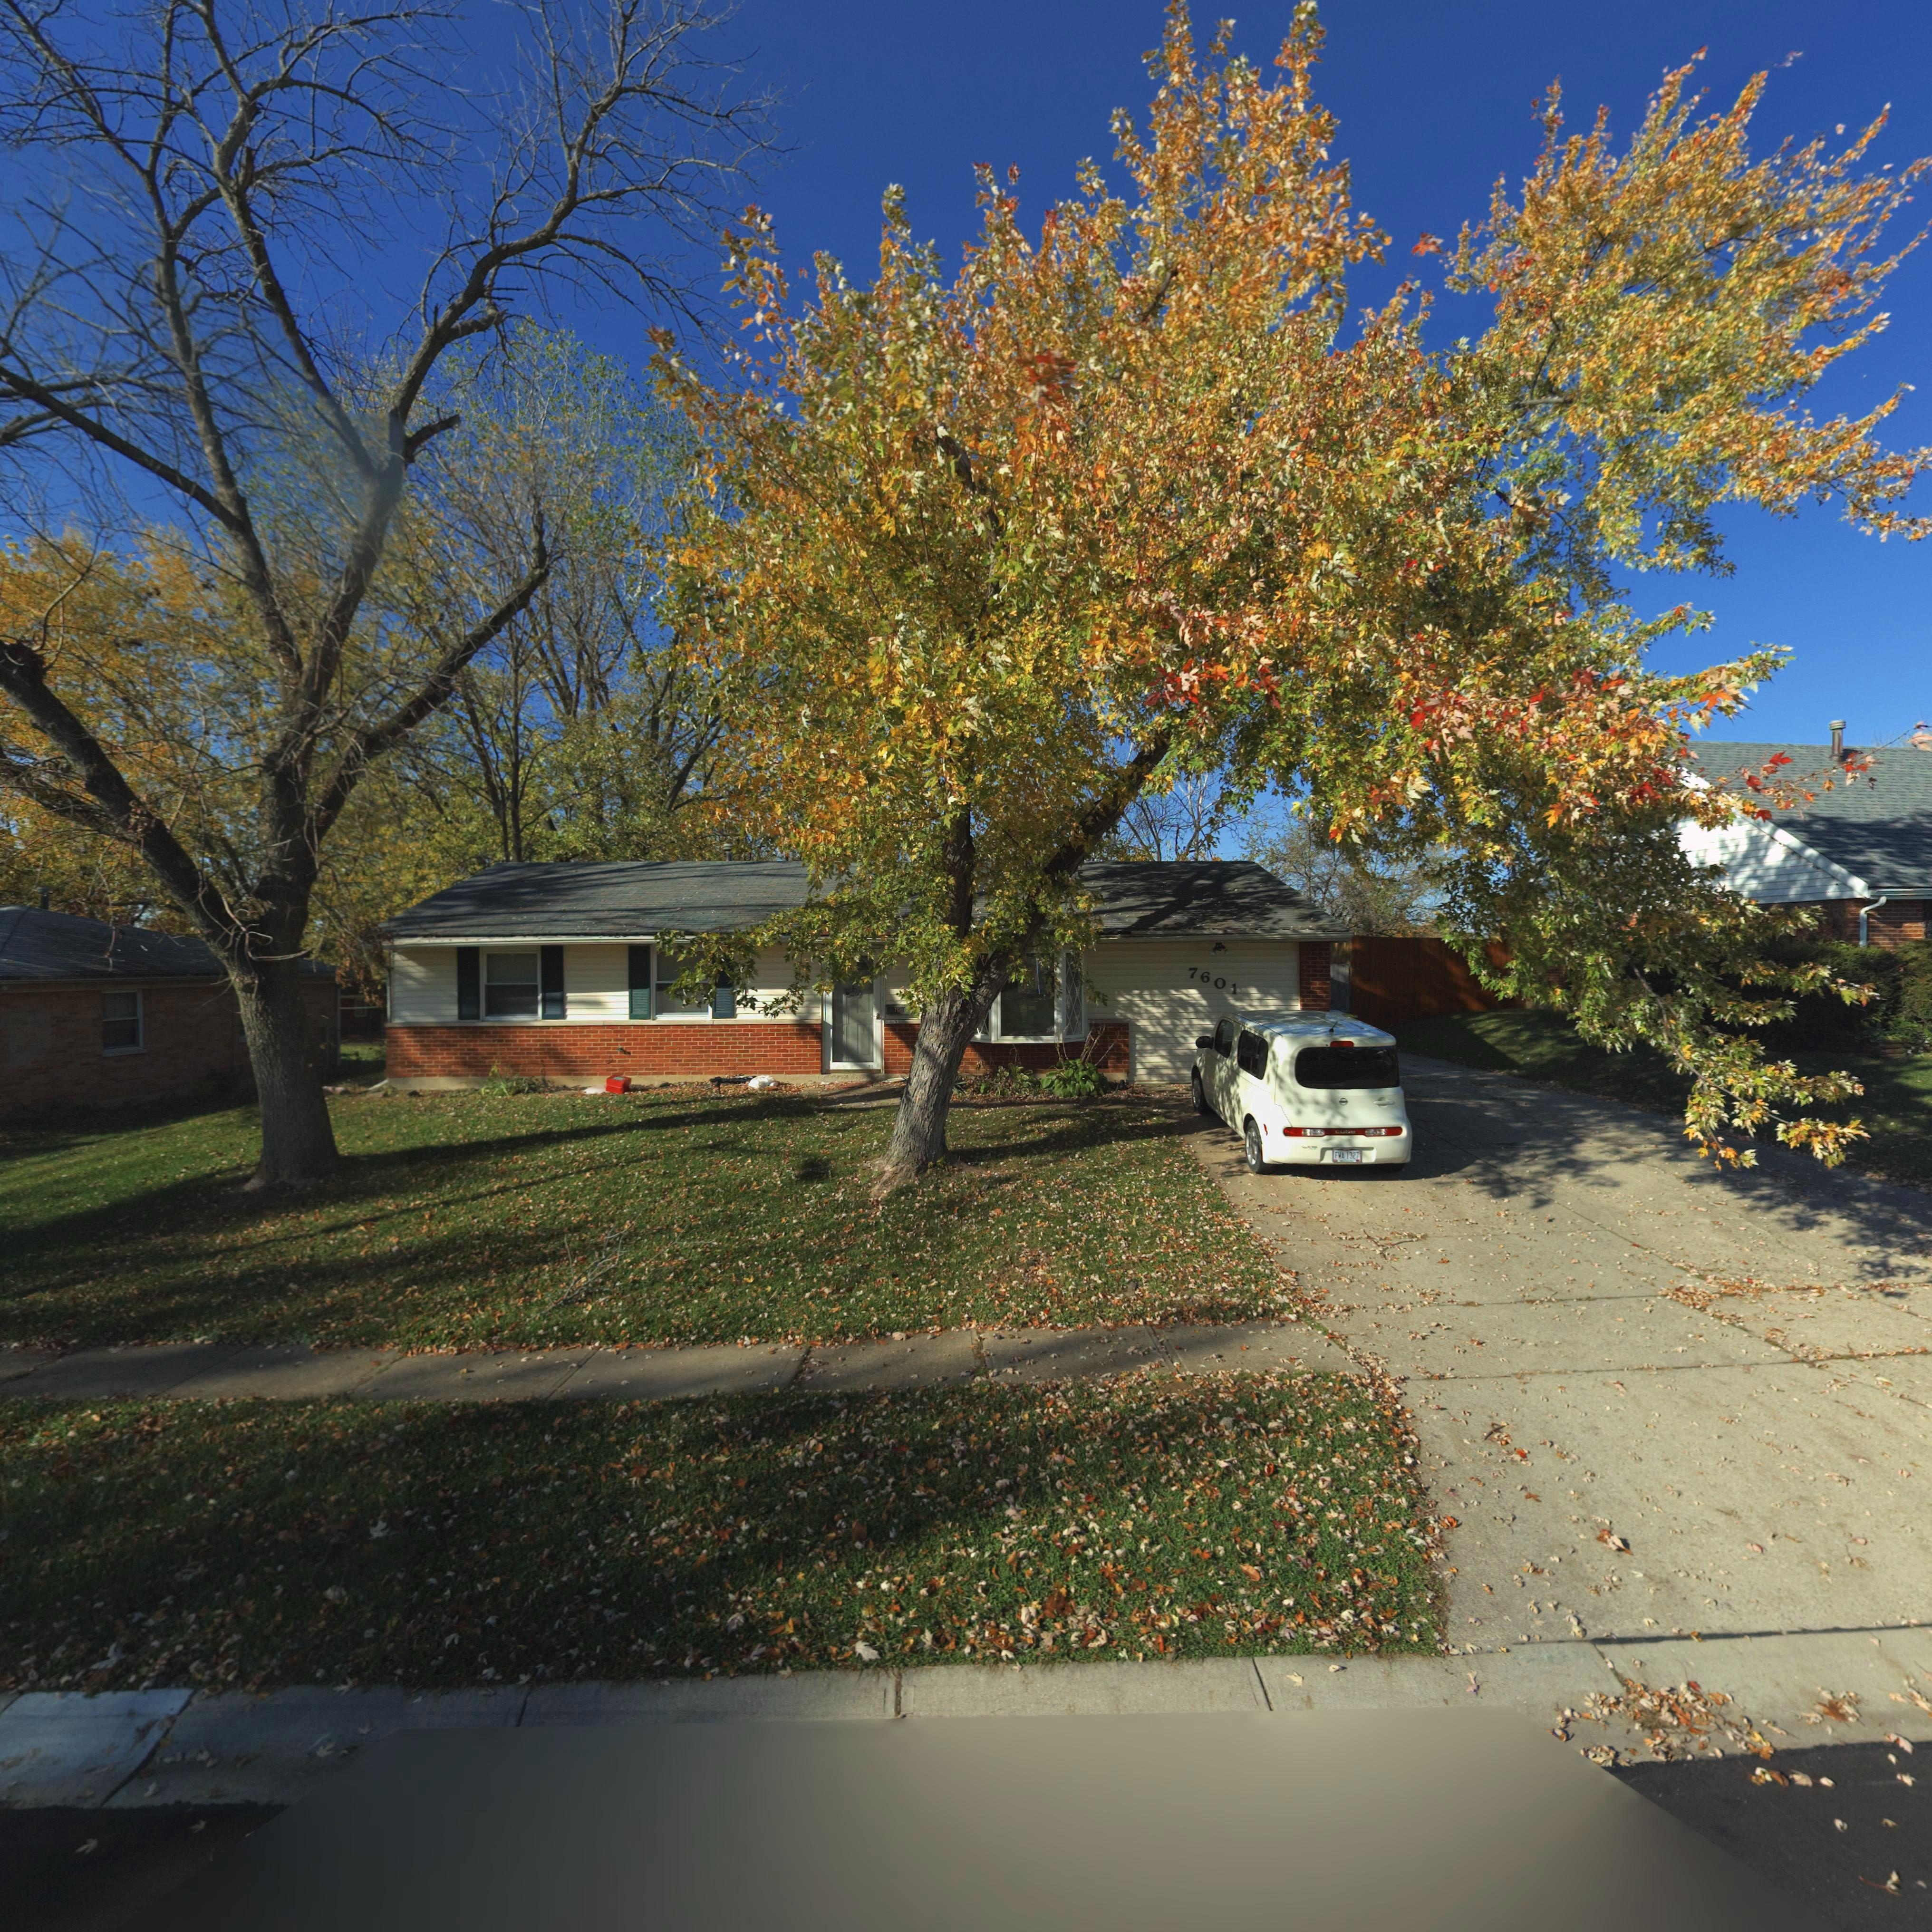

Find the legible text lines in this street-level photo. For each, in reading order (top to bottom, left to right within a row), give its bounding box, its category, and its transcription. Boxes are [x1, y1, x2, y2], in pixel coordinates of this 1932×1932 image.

[1187, 966, 1238, 995] StreetNumber: 7601